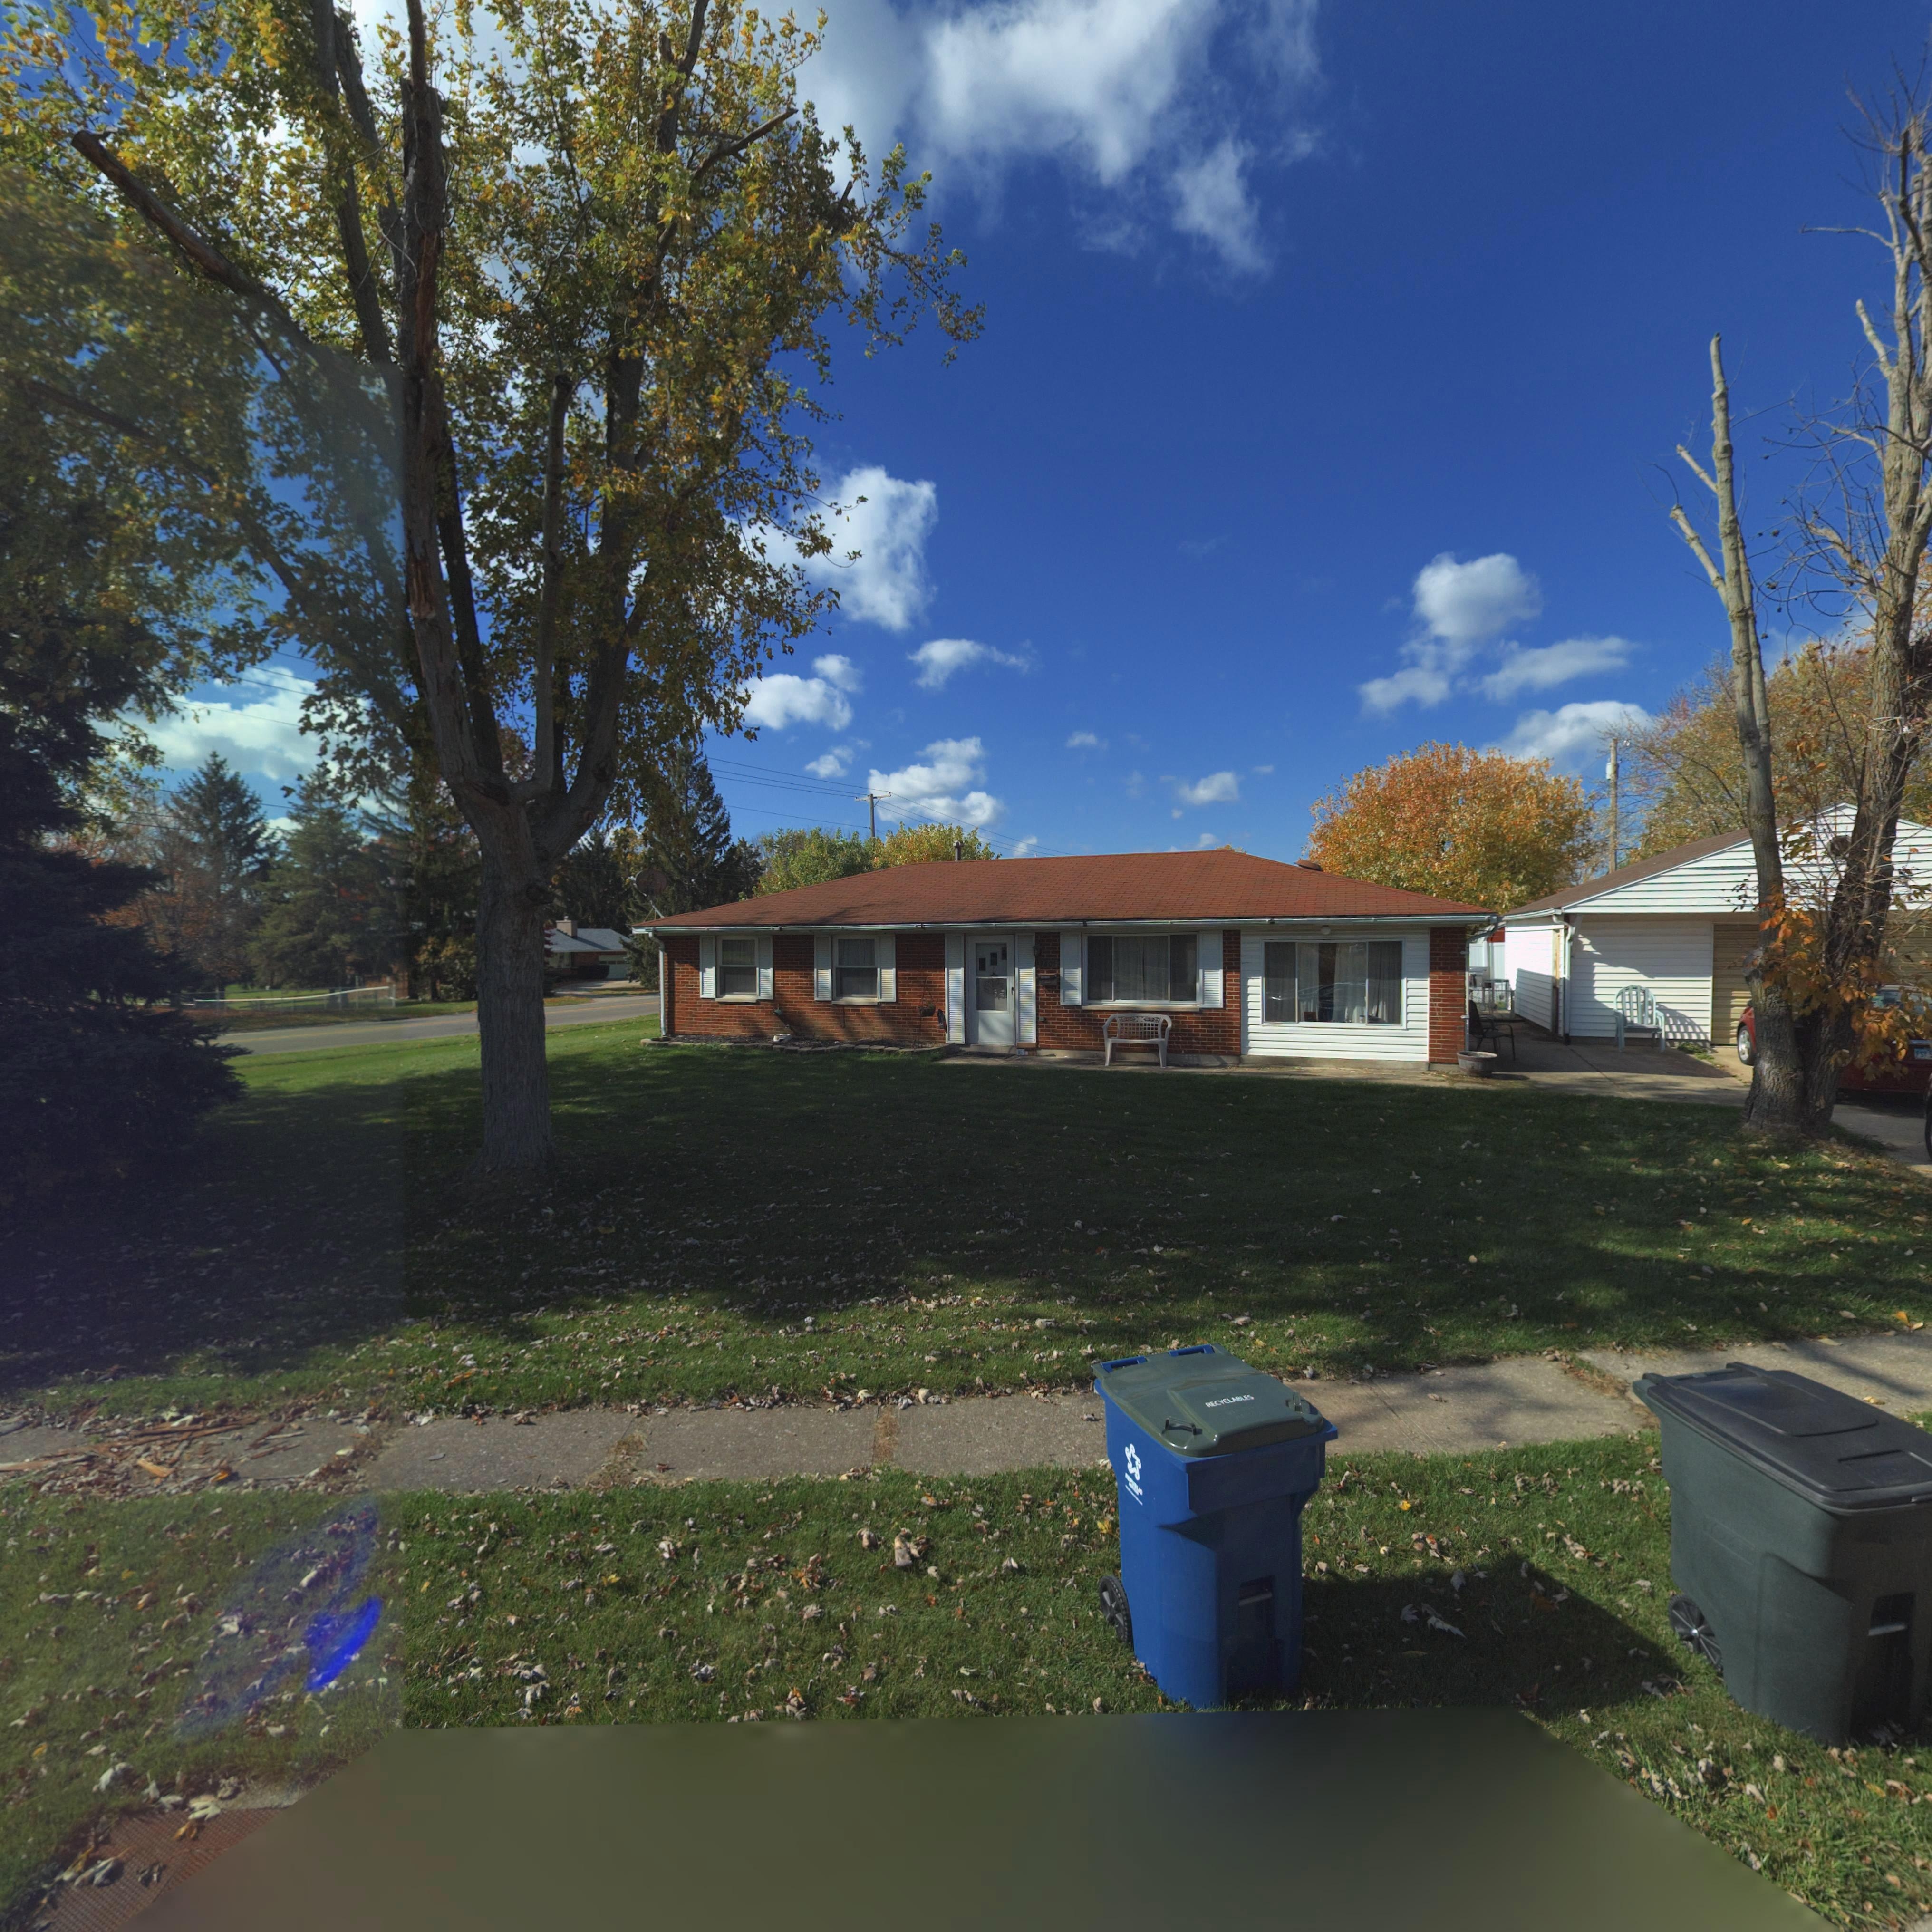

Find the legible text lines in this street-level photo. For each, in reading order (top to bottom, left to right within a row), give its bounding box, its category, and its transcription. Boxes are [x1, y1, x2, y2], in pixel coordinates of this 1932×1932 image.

[1039, 961, 1056, 967] StreetNumber: 7807